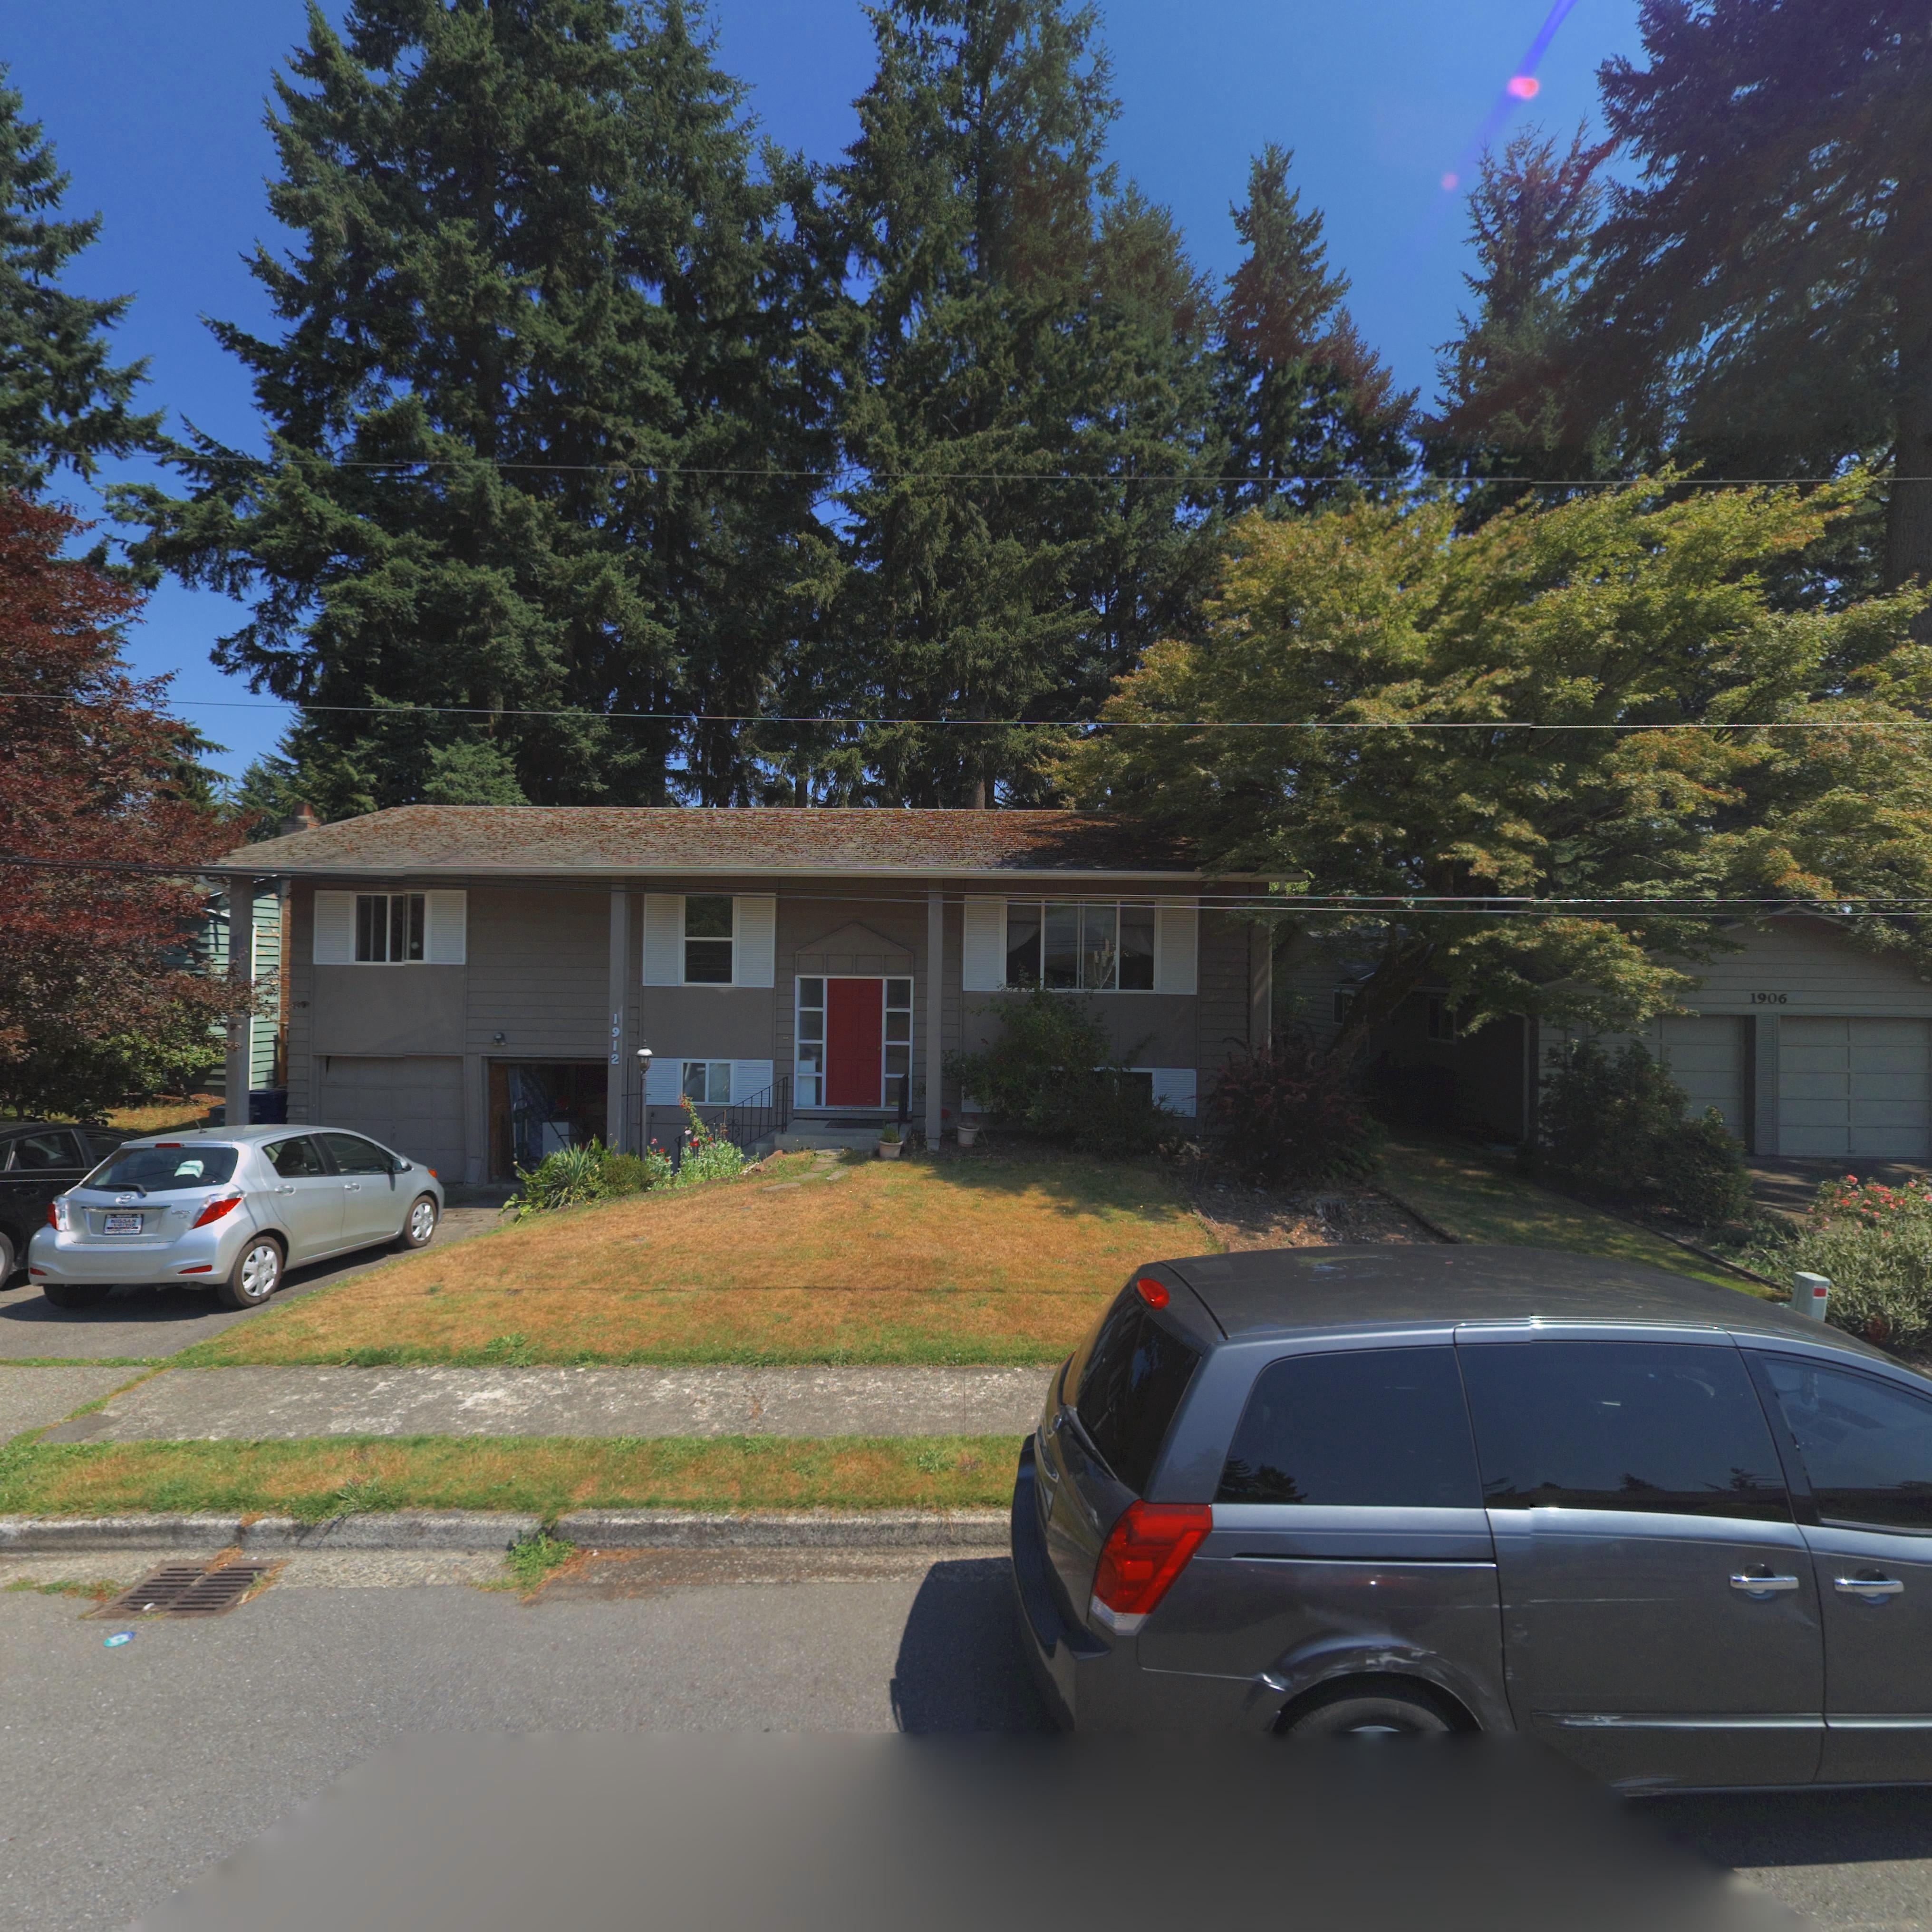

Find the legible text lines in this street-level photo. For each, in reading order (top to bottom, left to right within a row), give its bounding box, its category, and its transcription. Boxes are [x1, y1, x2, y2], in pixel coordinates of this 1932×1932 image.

[1750, 992, 1788, 1004] StreetNumber: 1906
[611, 1013, 620, 1065] StreetNumber: 1912